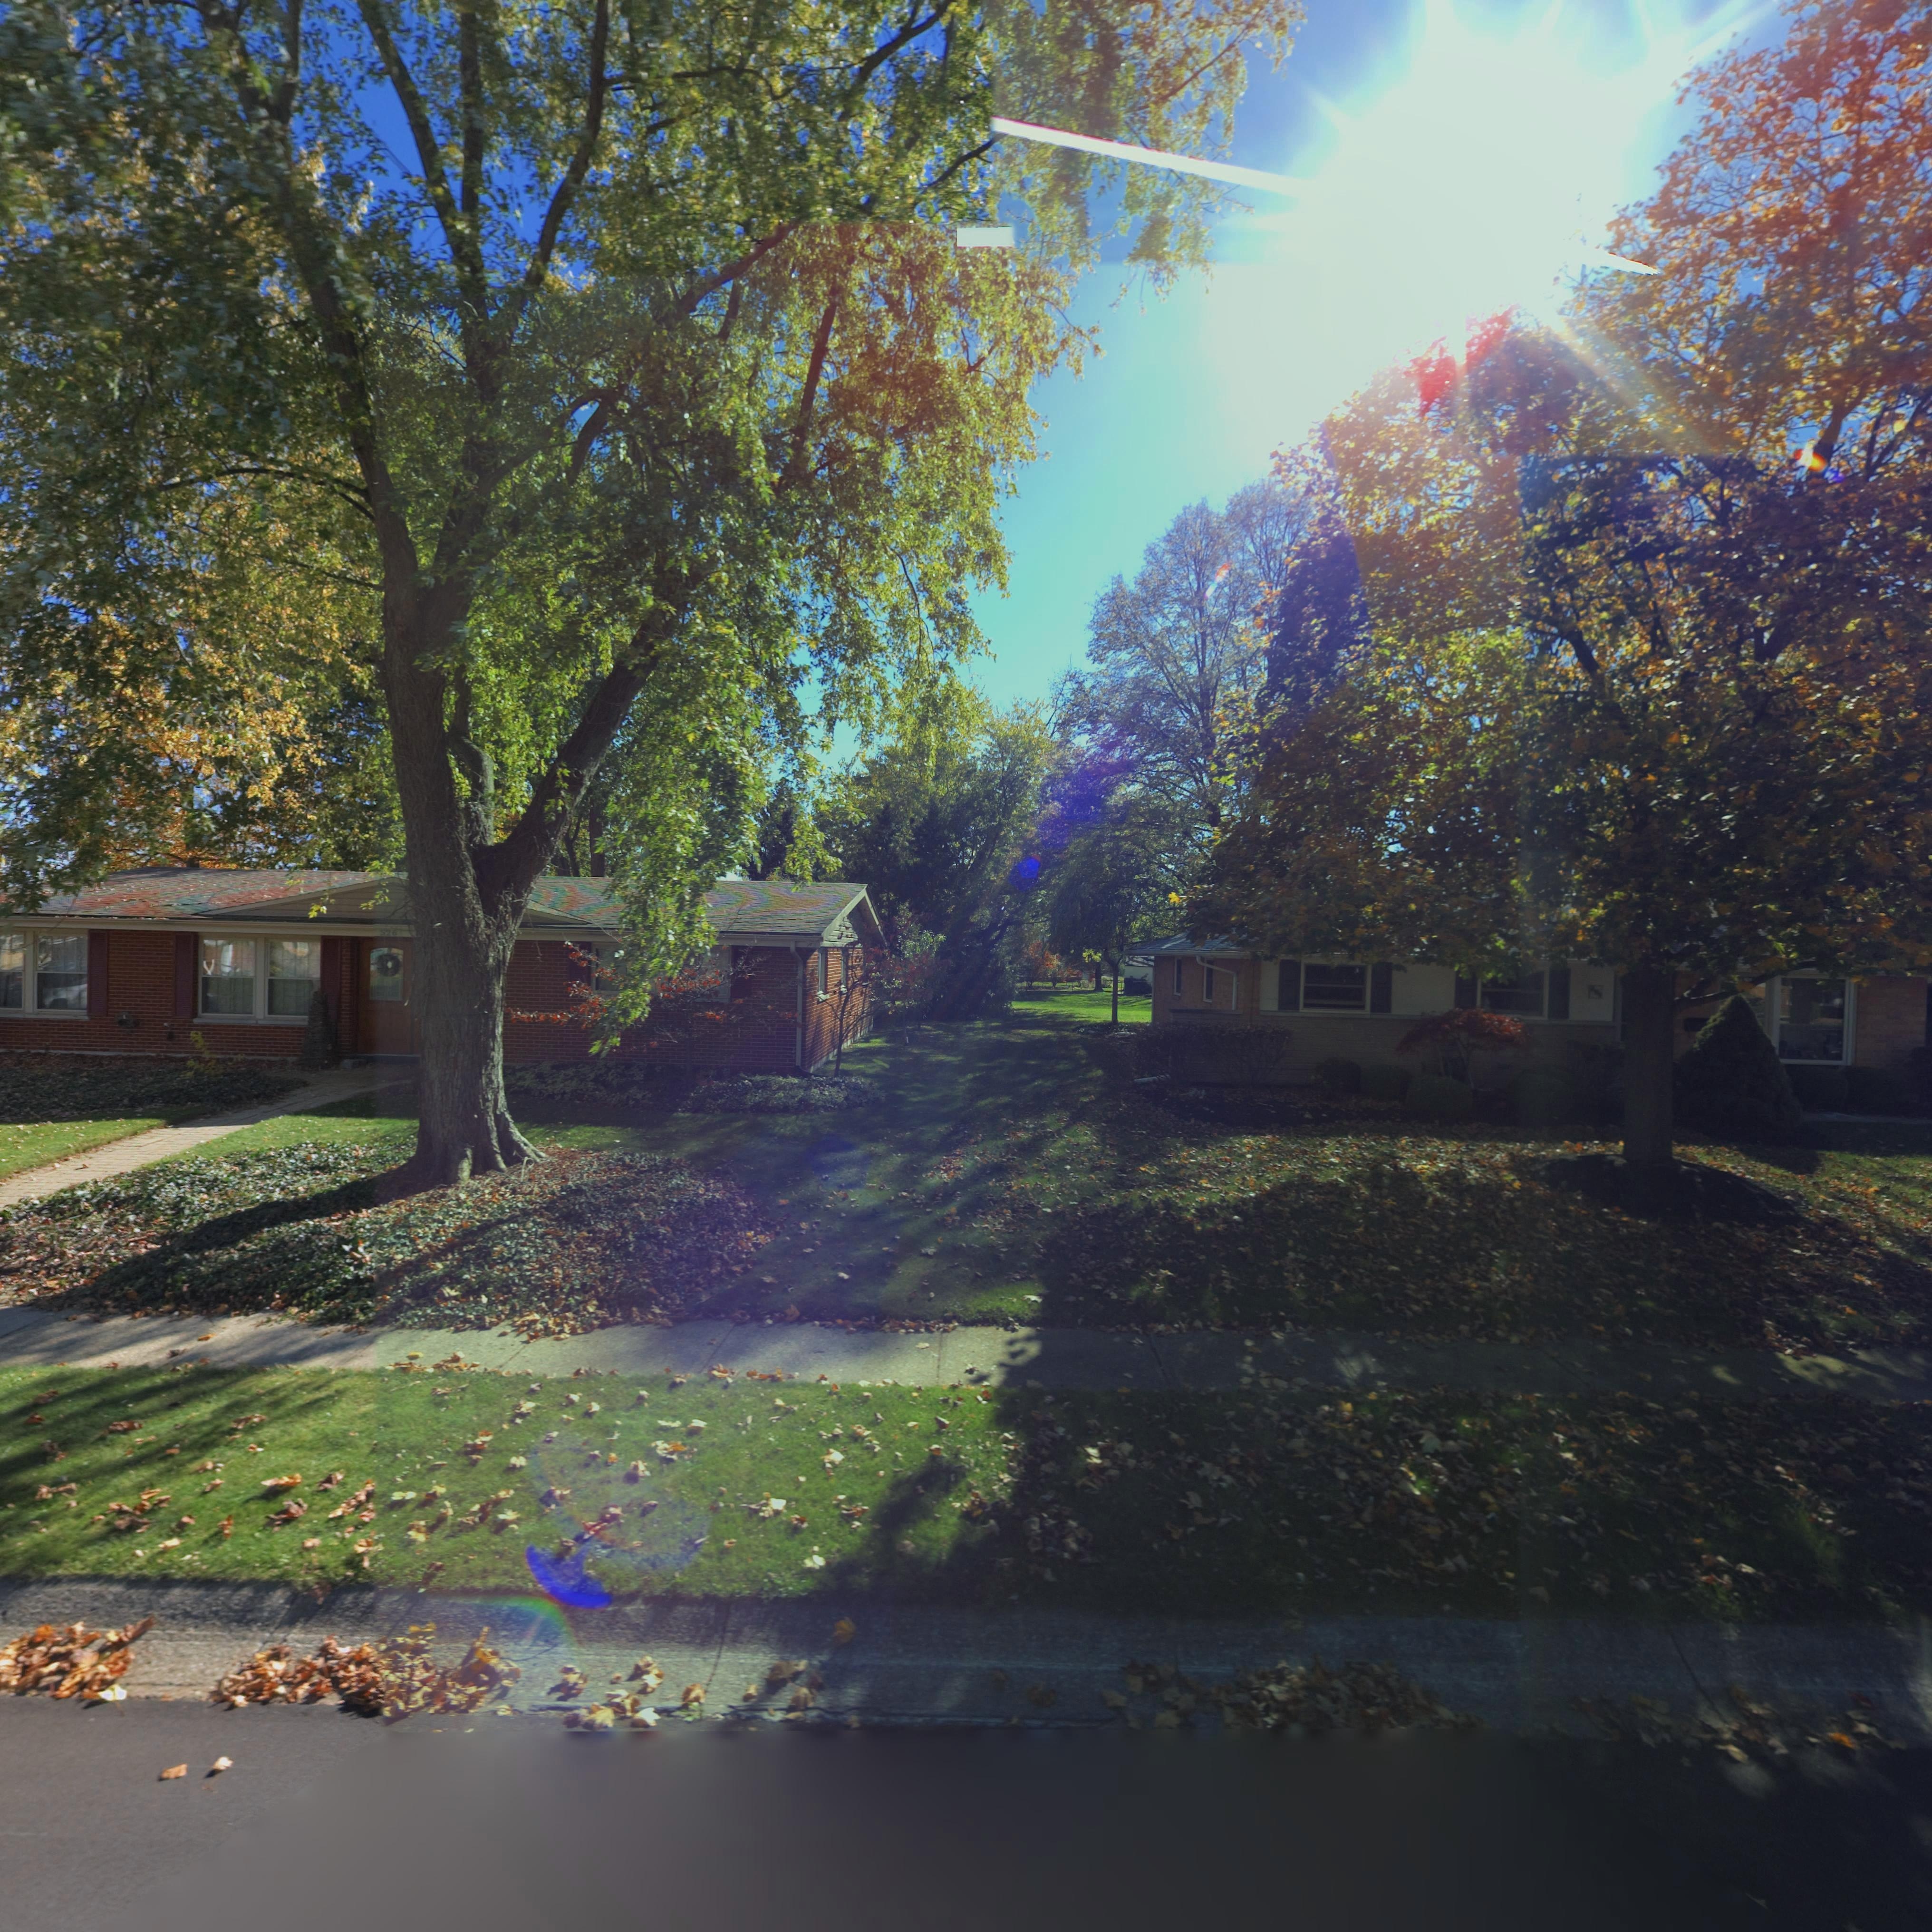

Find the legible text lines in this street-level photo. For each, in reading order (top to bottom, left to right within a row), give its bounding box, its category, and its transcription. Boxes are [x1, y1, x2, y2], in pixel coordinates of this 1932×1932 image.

[379, 928, 399, 938] StreetNumber: 526